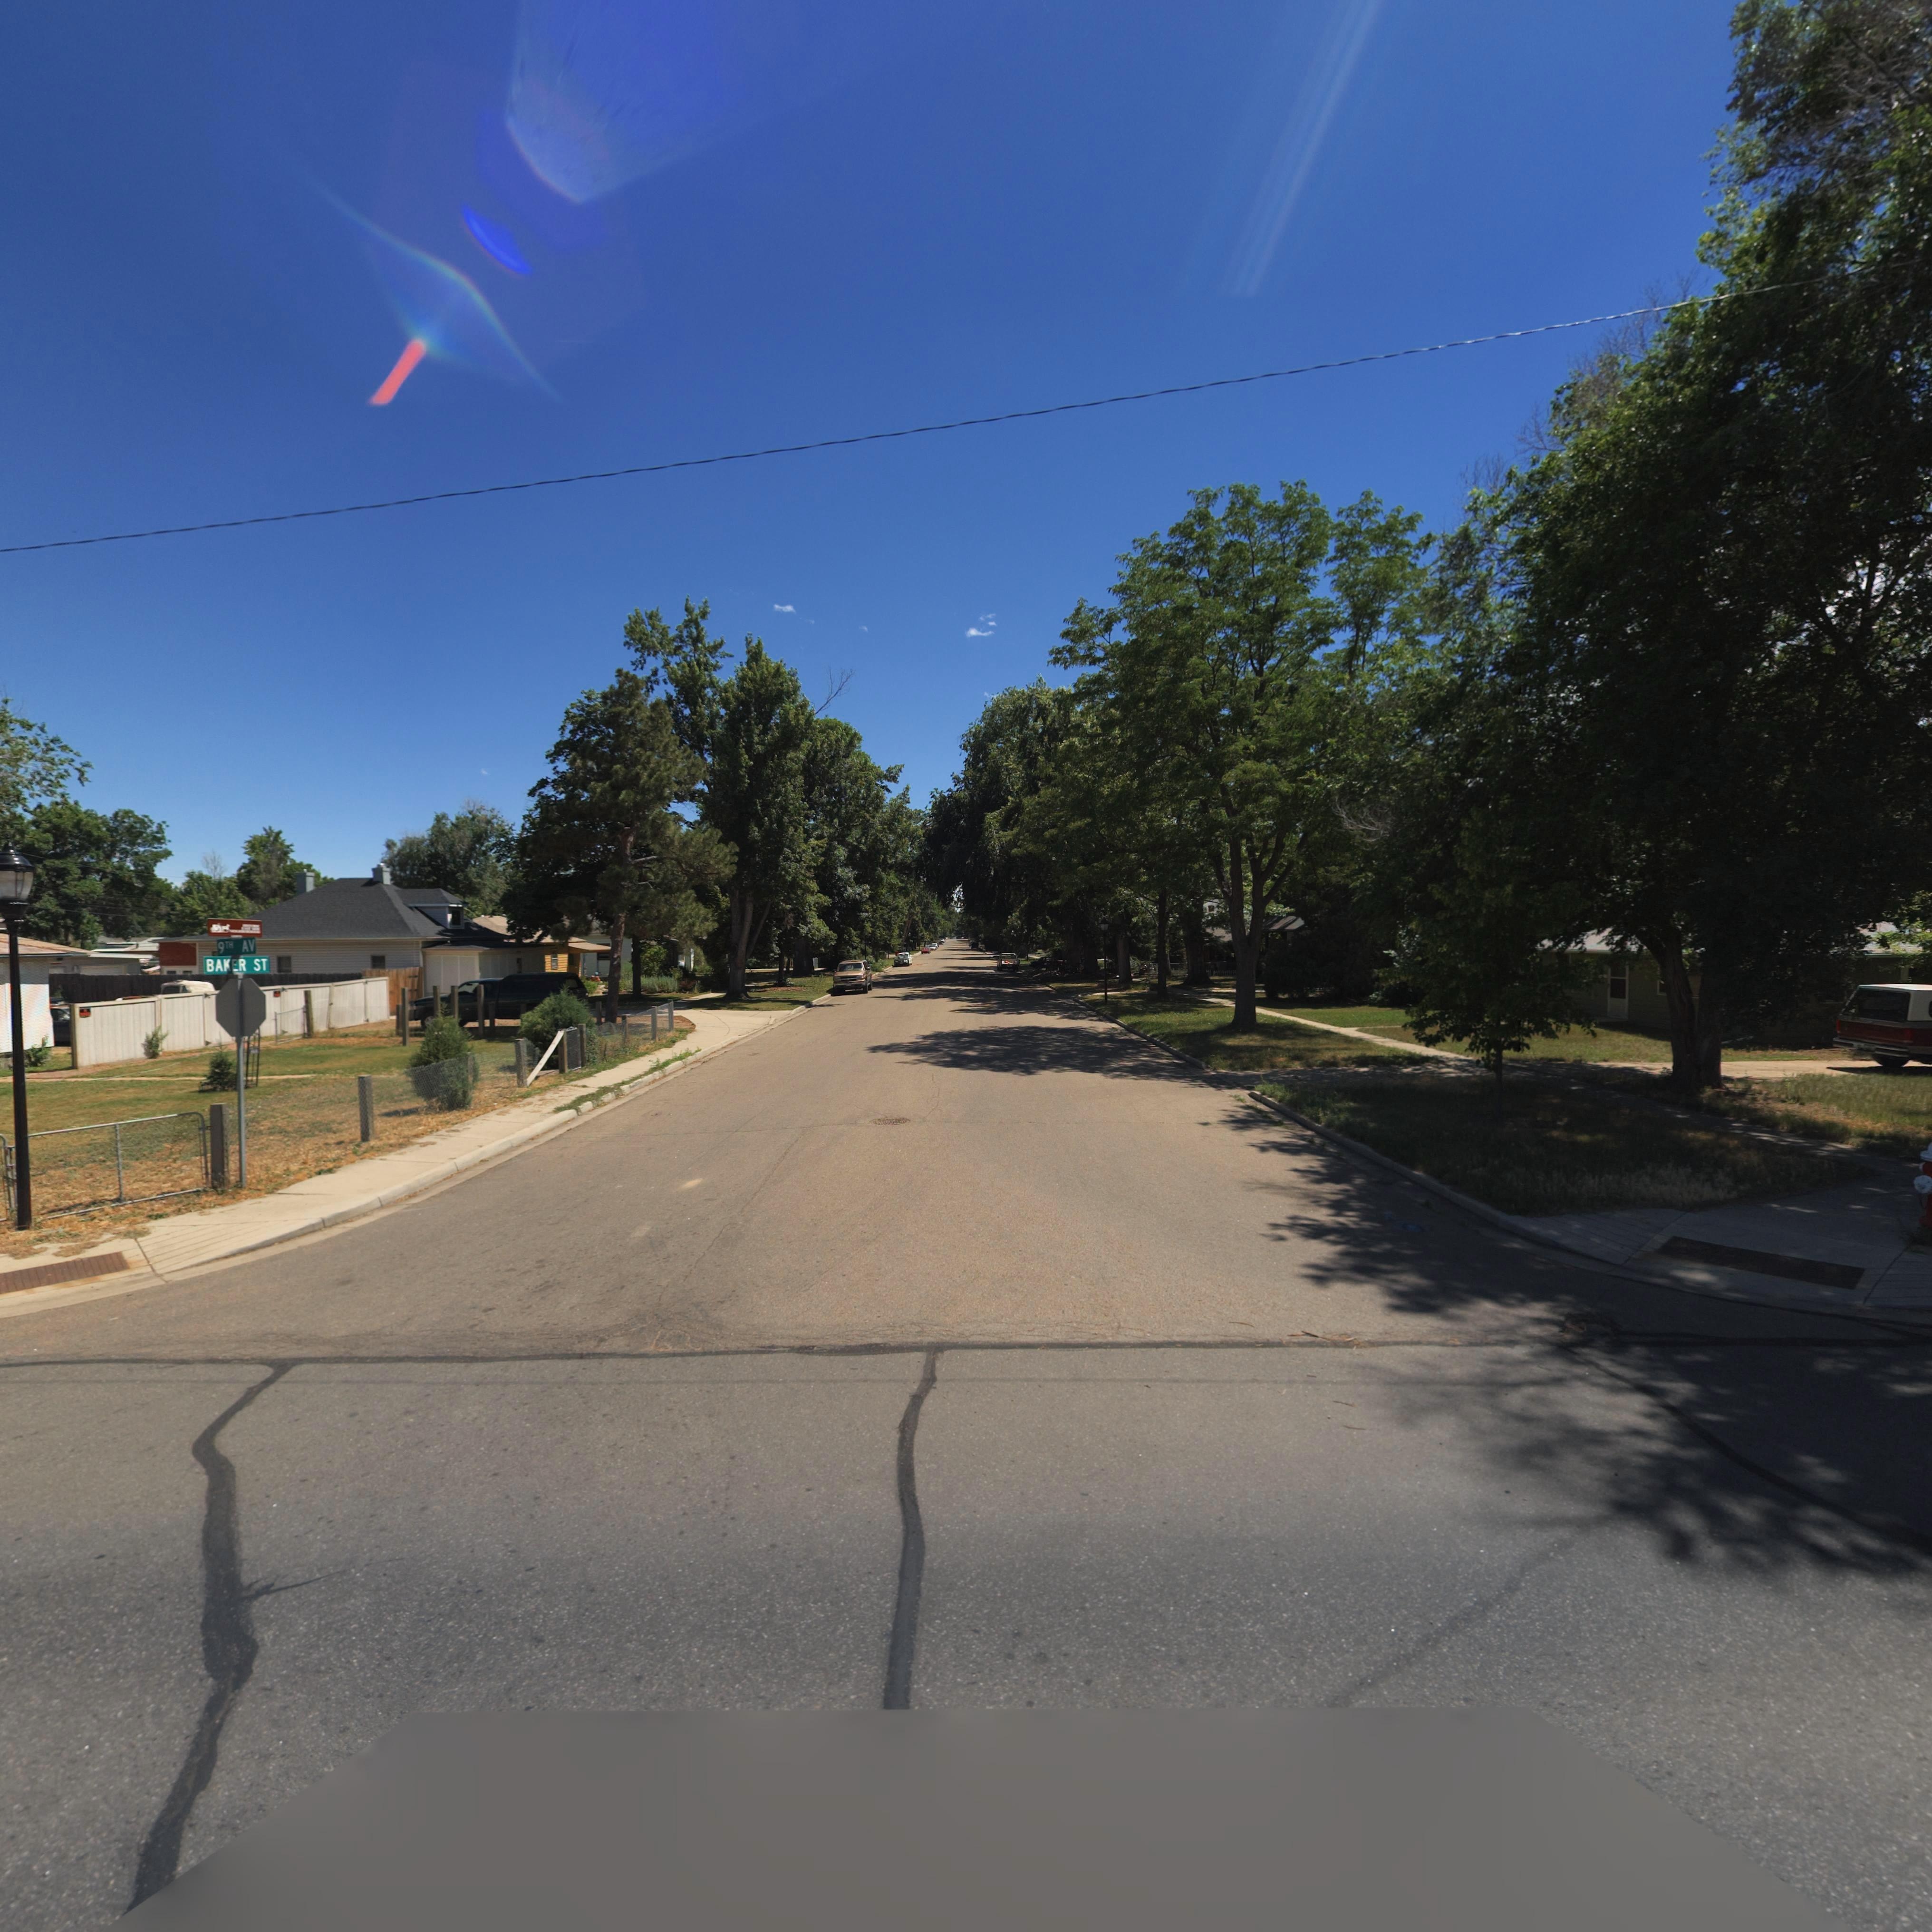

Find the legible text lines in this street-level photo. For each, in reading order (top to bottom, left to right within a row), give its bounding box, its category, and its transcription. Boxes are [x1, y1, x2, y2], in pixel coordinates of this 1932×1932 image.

[217, 938, 255, 954] StreetName: 9TH AV
[206, 958, 267, 972] StreetName: BAKER ST